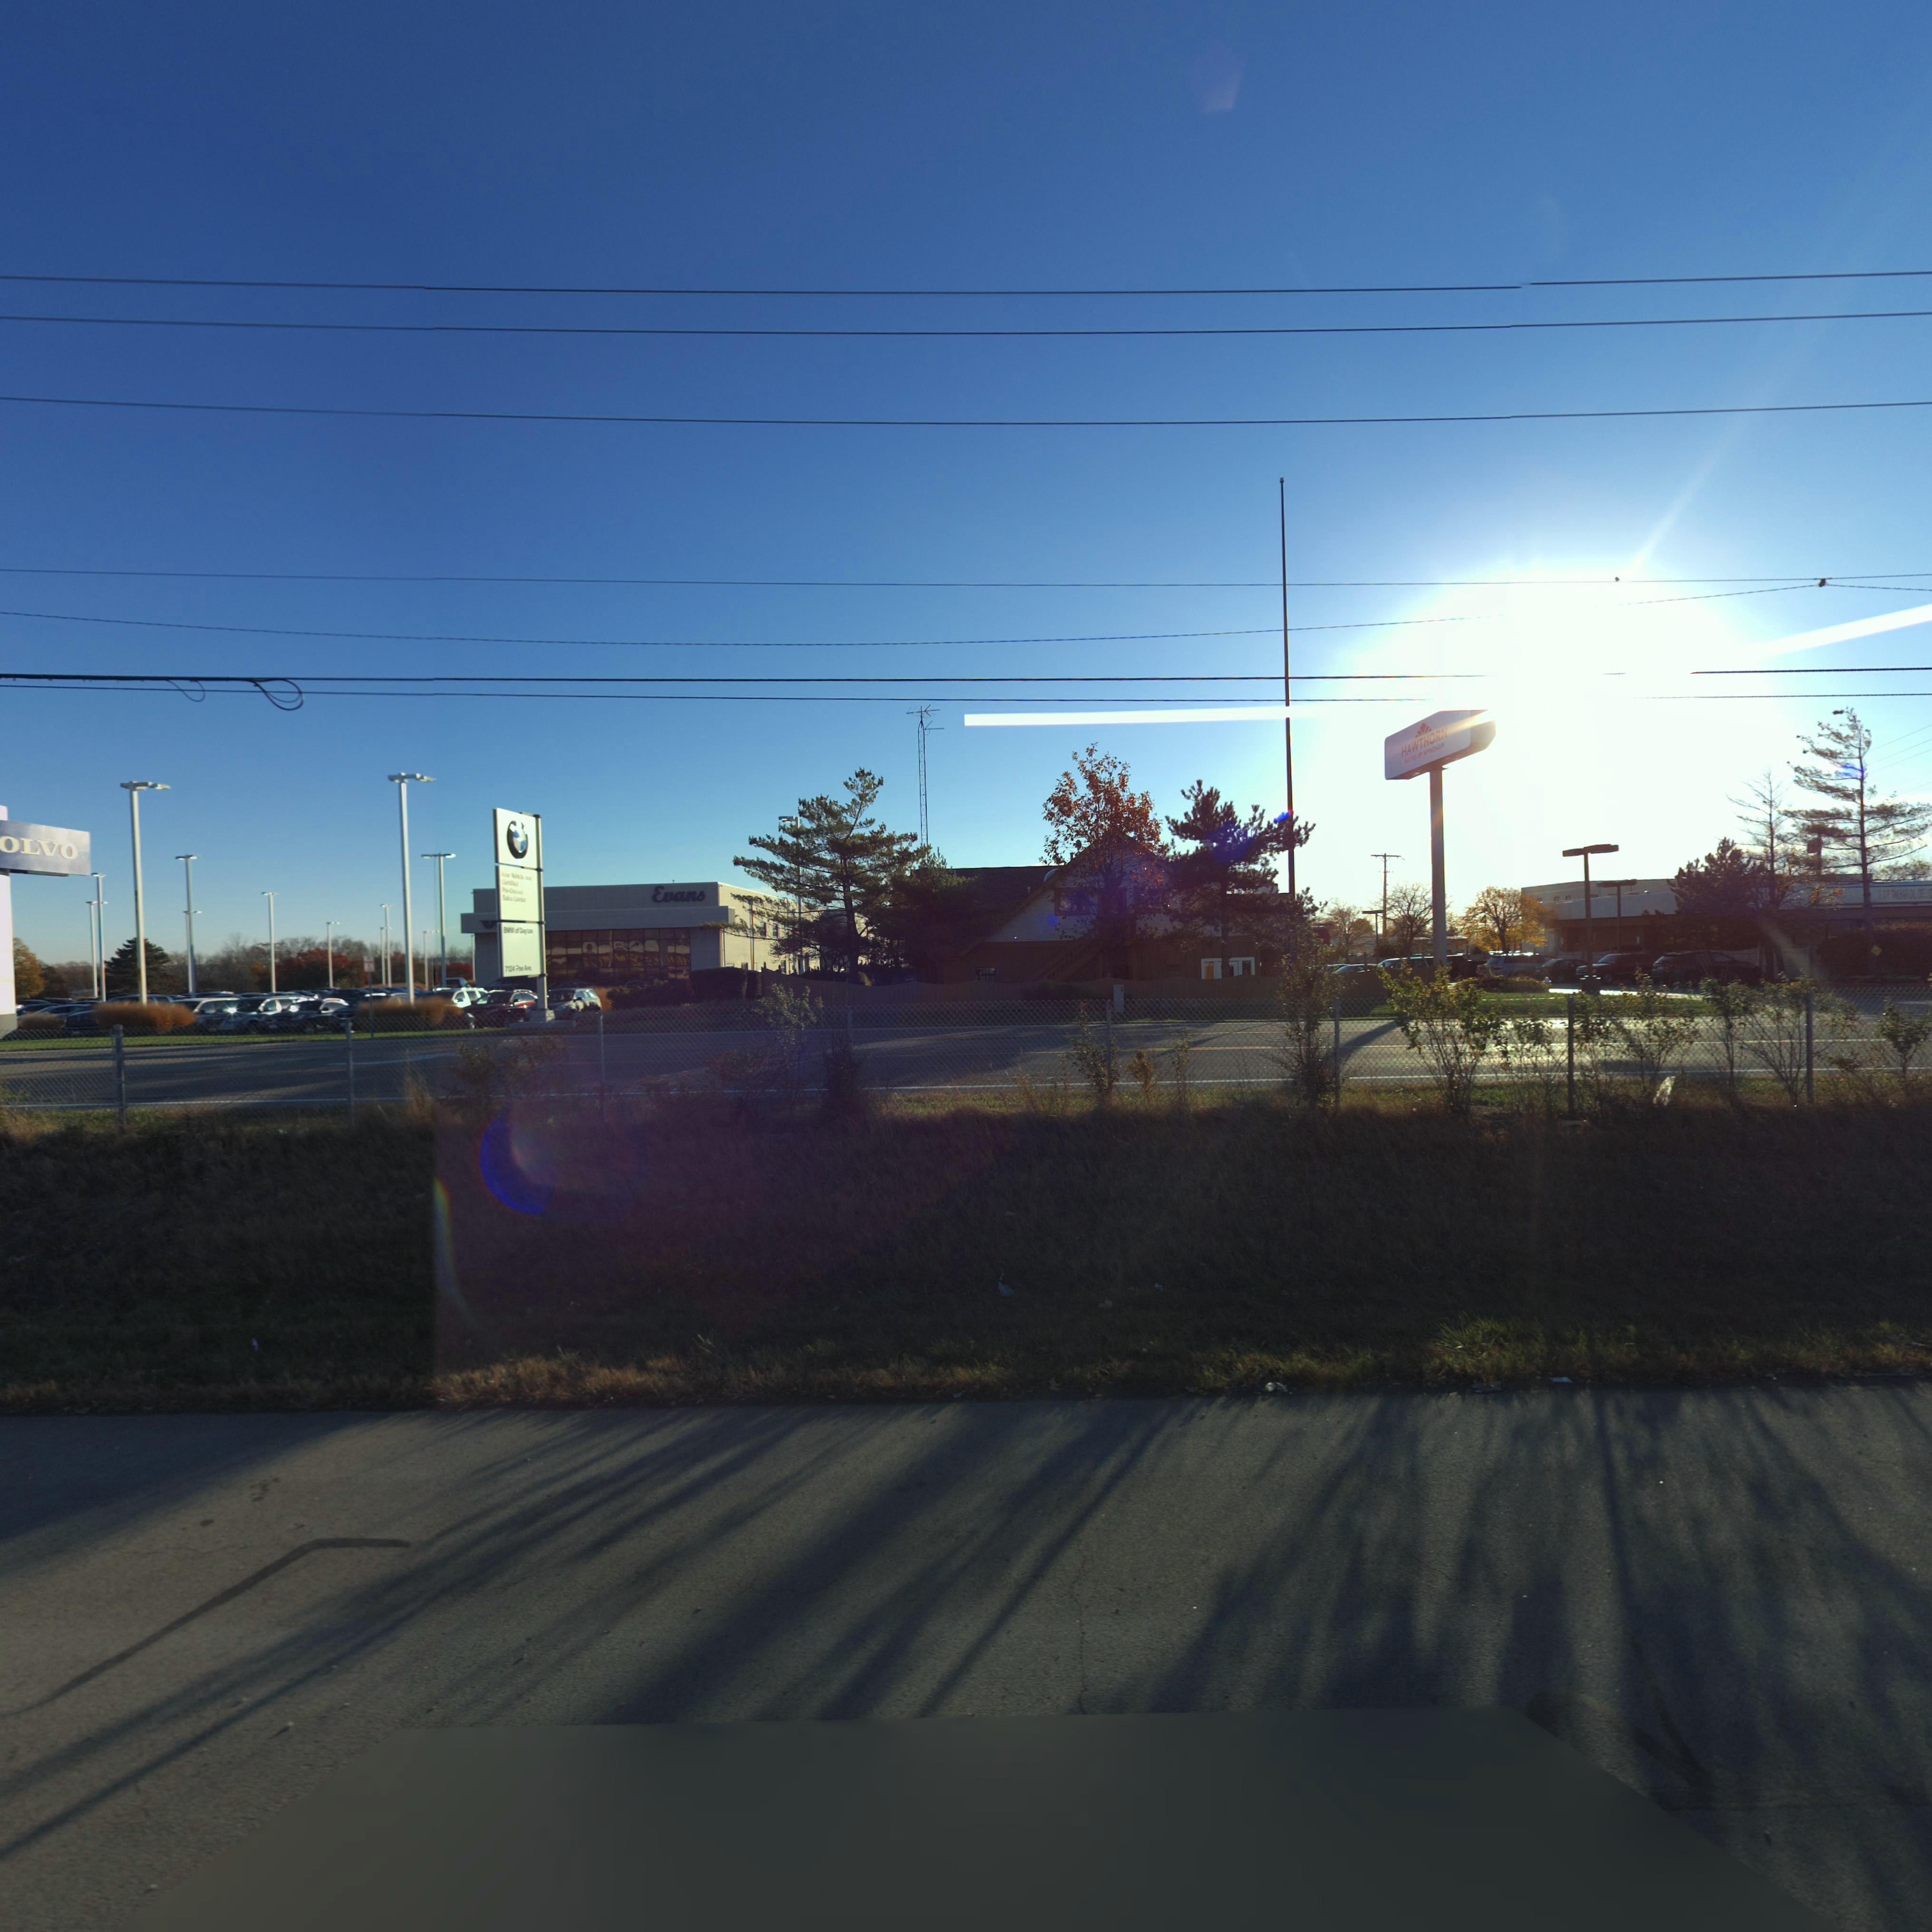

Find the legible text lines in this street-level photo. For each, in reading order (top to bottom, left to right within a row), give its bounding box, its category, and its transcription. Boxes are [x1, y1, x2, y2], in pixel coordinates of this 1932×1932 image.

[1401, 726, 1451, 761] None: HAWTHORN
[20, 831, 80, 856] BusinessName: LVO
[649, 879, 709, 904] None: Evans
[502, 922, 534, 932] None: BMW of Dayton
[503, 962, 516, 971] StreetNumber: 7**4